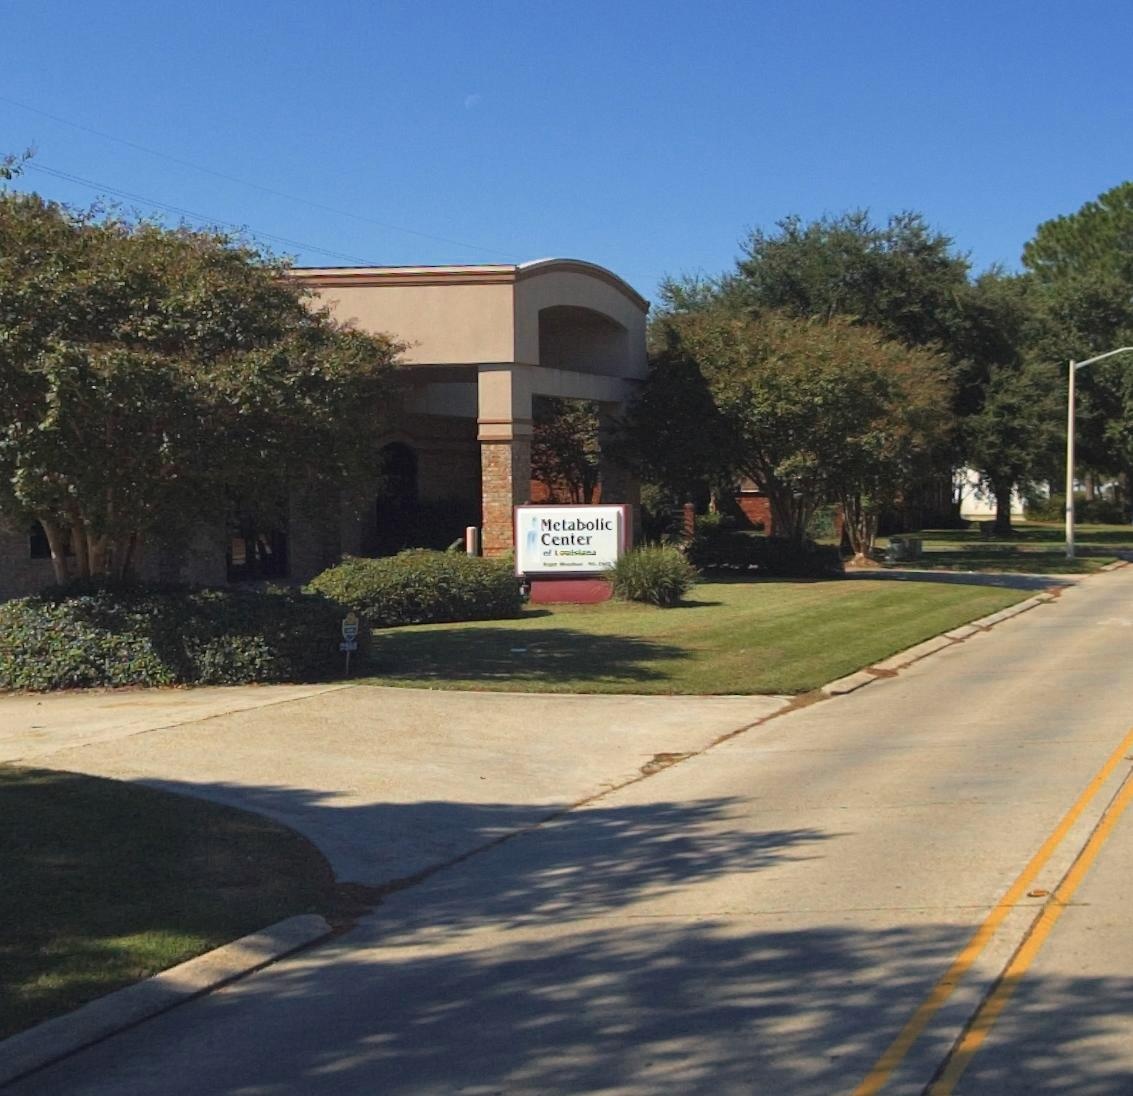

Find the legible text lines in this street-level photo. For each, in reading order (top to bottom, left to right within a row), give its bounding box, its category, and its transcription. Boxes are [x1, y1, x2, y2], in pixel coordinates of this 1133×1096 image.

[539, 516, 614, 533] BusinessName: Metabolic
[539, 531, 594, 546] BusinessName: Center